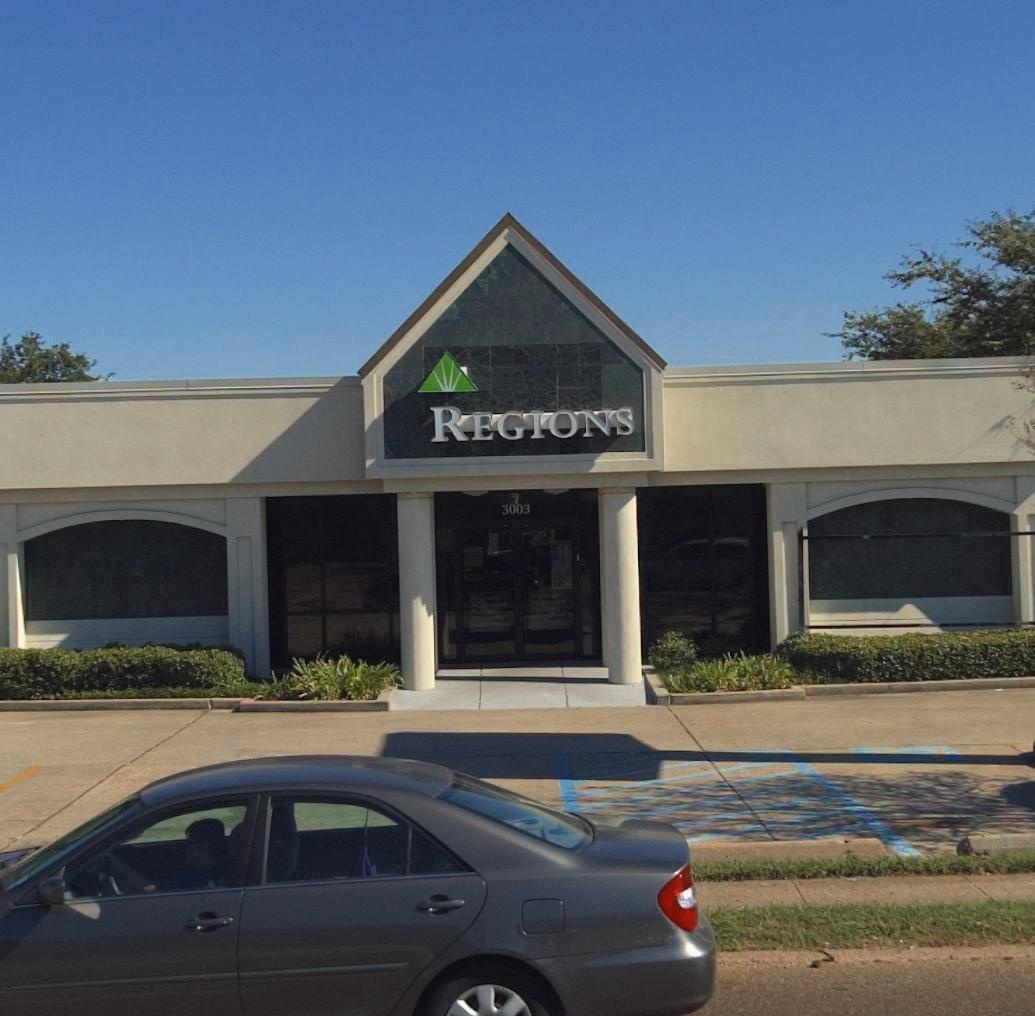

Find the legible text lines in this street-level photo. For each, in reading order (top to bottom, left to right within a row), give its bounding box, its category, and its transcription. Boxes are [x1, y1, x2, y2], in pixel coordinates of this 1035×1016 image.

[428, 404, 638, 446] BusinessName: REGIONS
[500, 501, 532, 517] StreetNumber: 3003